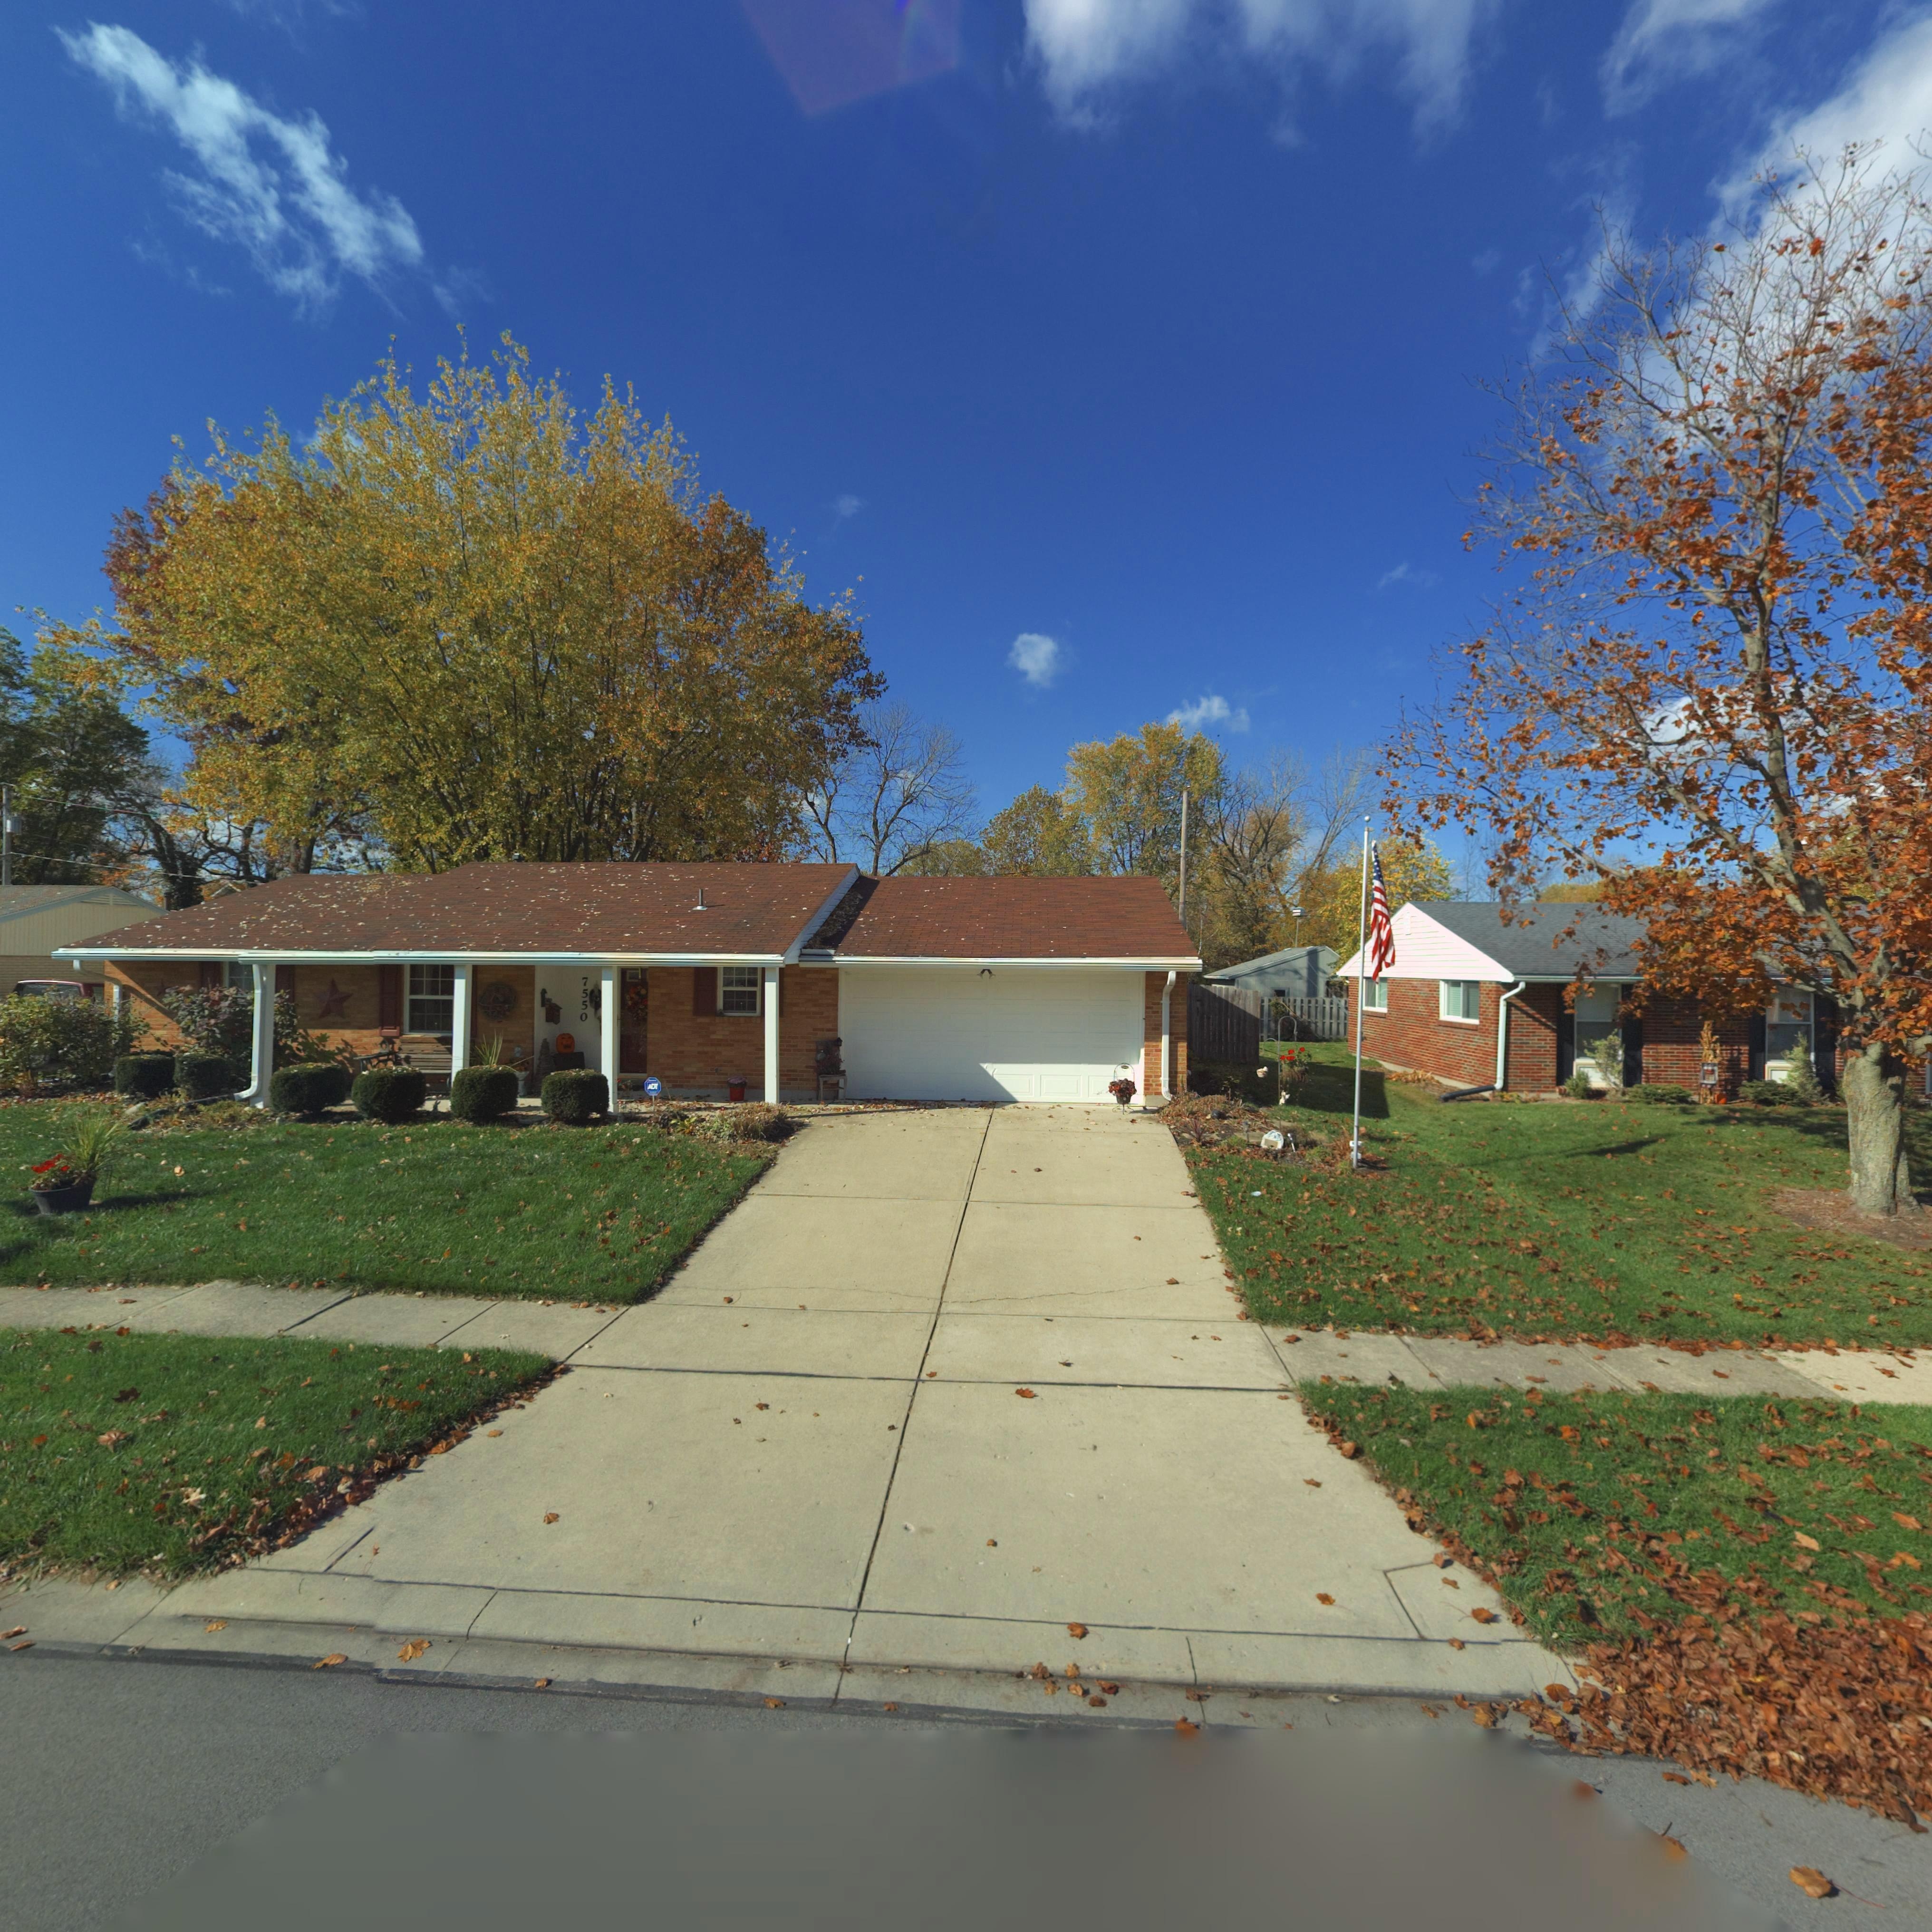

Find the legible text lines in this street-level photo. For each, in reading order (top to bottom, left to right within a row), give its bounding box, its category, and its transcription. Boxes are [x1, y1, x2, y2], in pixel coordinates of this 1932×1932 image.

[579, 976, 589, 1023] StreetNumber: 7550